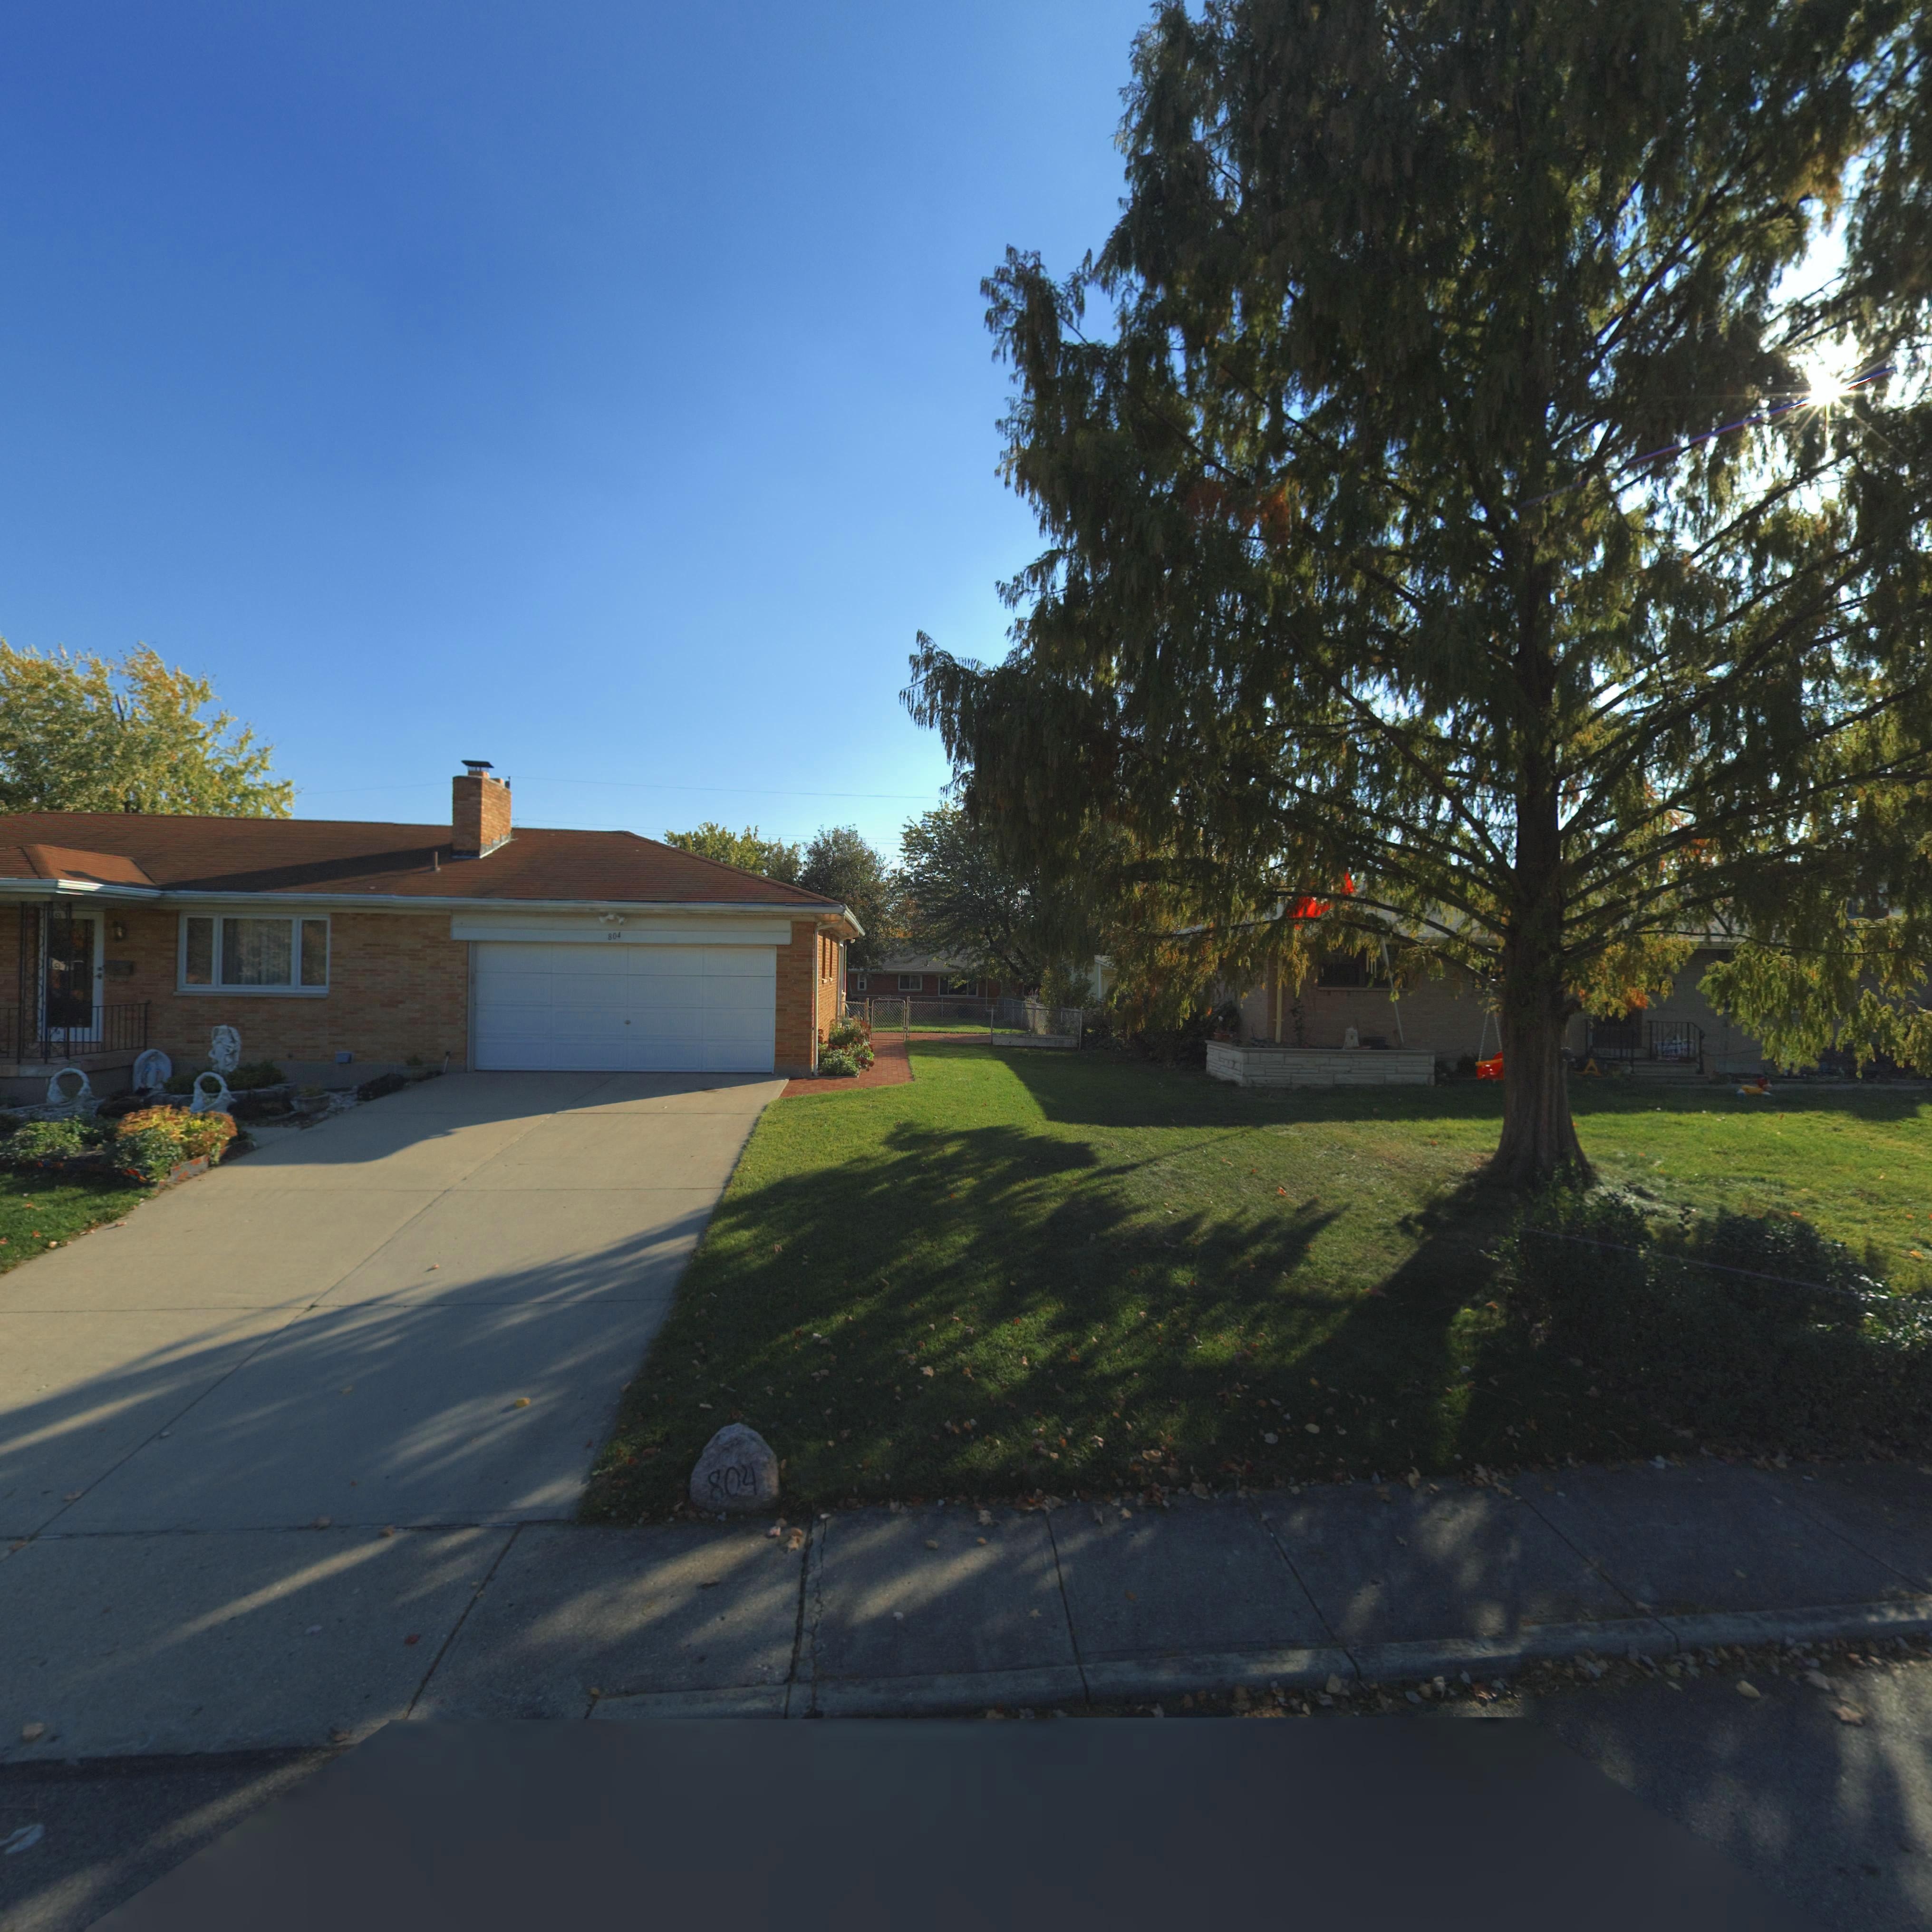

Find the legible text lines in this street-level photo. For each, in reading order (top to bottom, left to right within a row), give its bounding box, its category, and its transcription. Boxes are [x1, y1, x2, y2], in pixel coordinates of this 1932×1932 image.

[608, 931, 621, 941] StreetNumber: 804
[706, 1461, 760, 1504] StreetNumber: 804